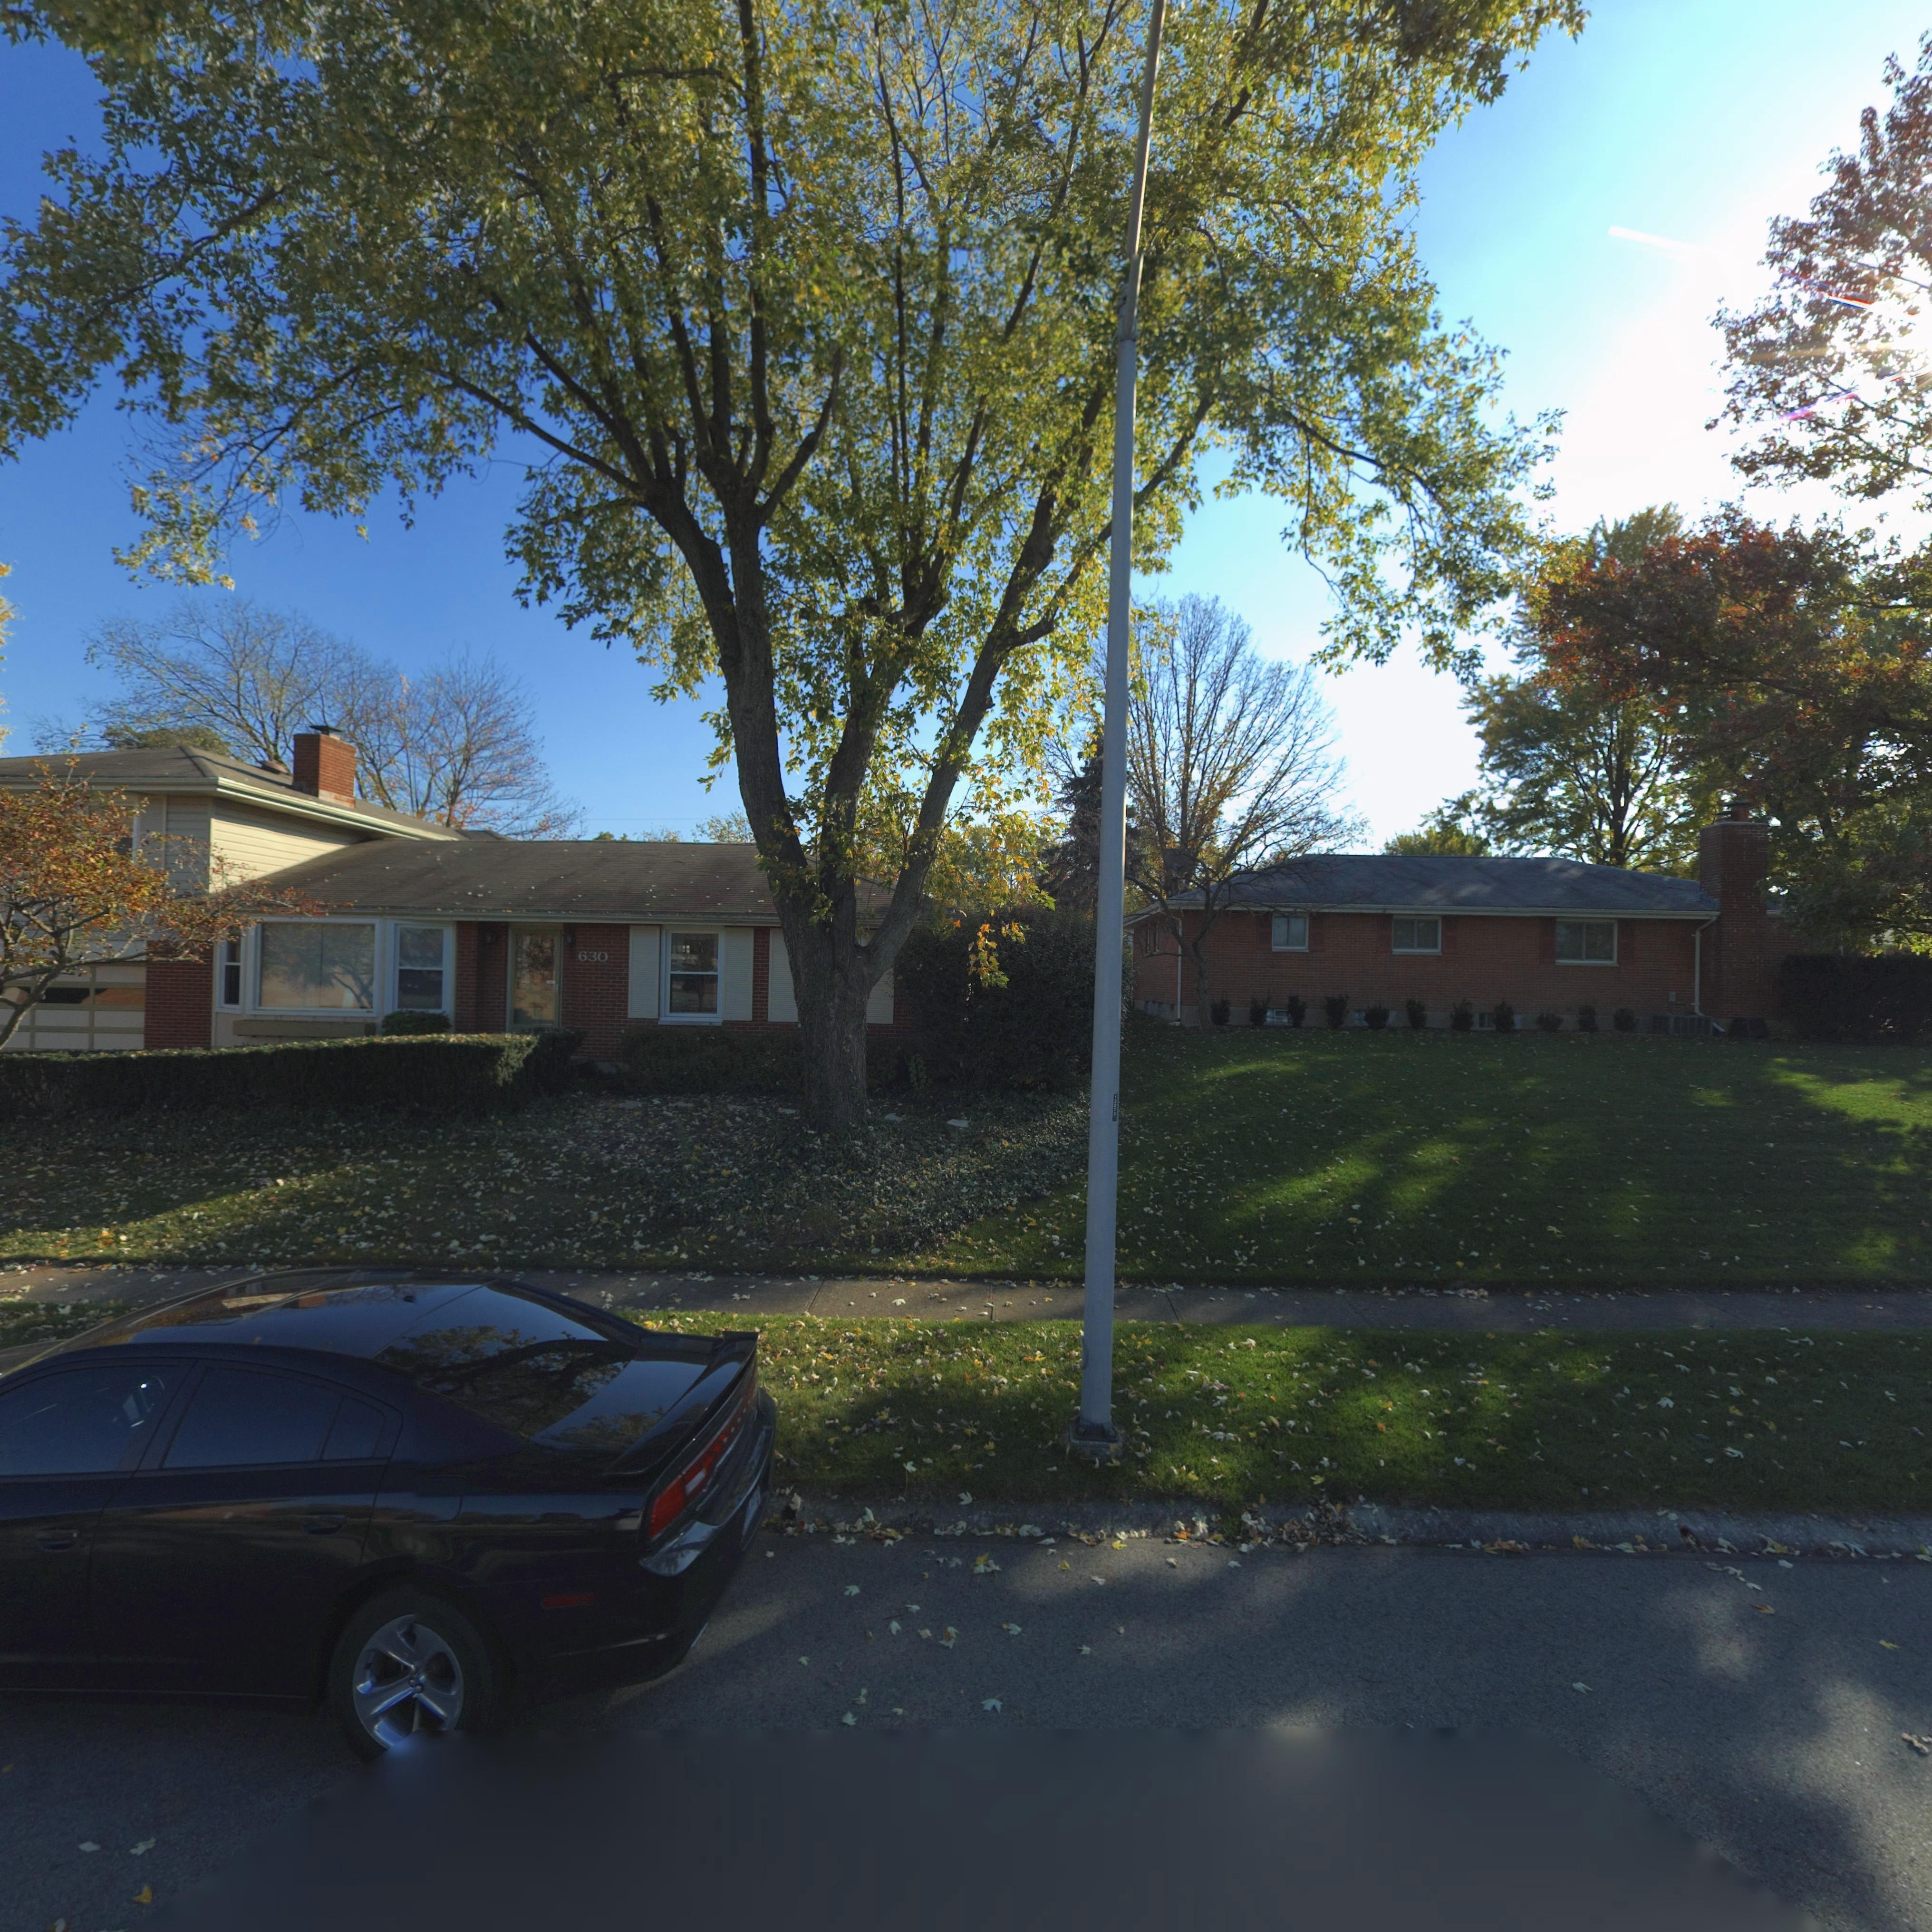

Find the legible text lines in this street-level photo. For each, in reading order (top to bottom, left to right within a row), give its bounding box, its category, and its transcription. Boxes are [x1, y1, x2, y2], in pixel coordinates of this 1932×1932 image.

[577, 951, 609, 963] StreetNumber: 630